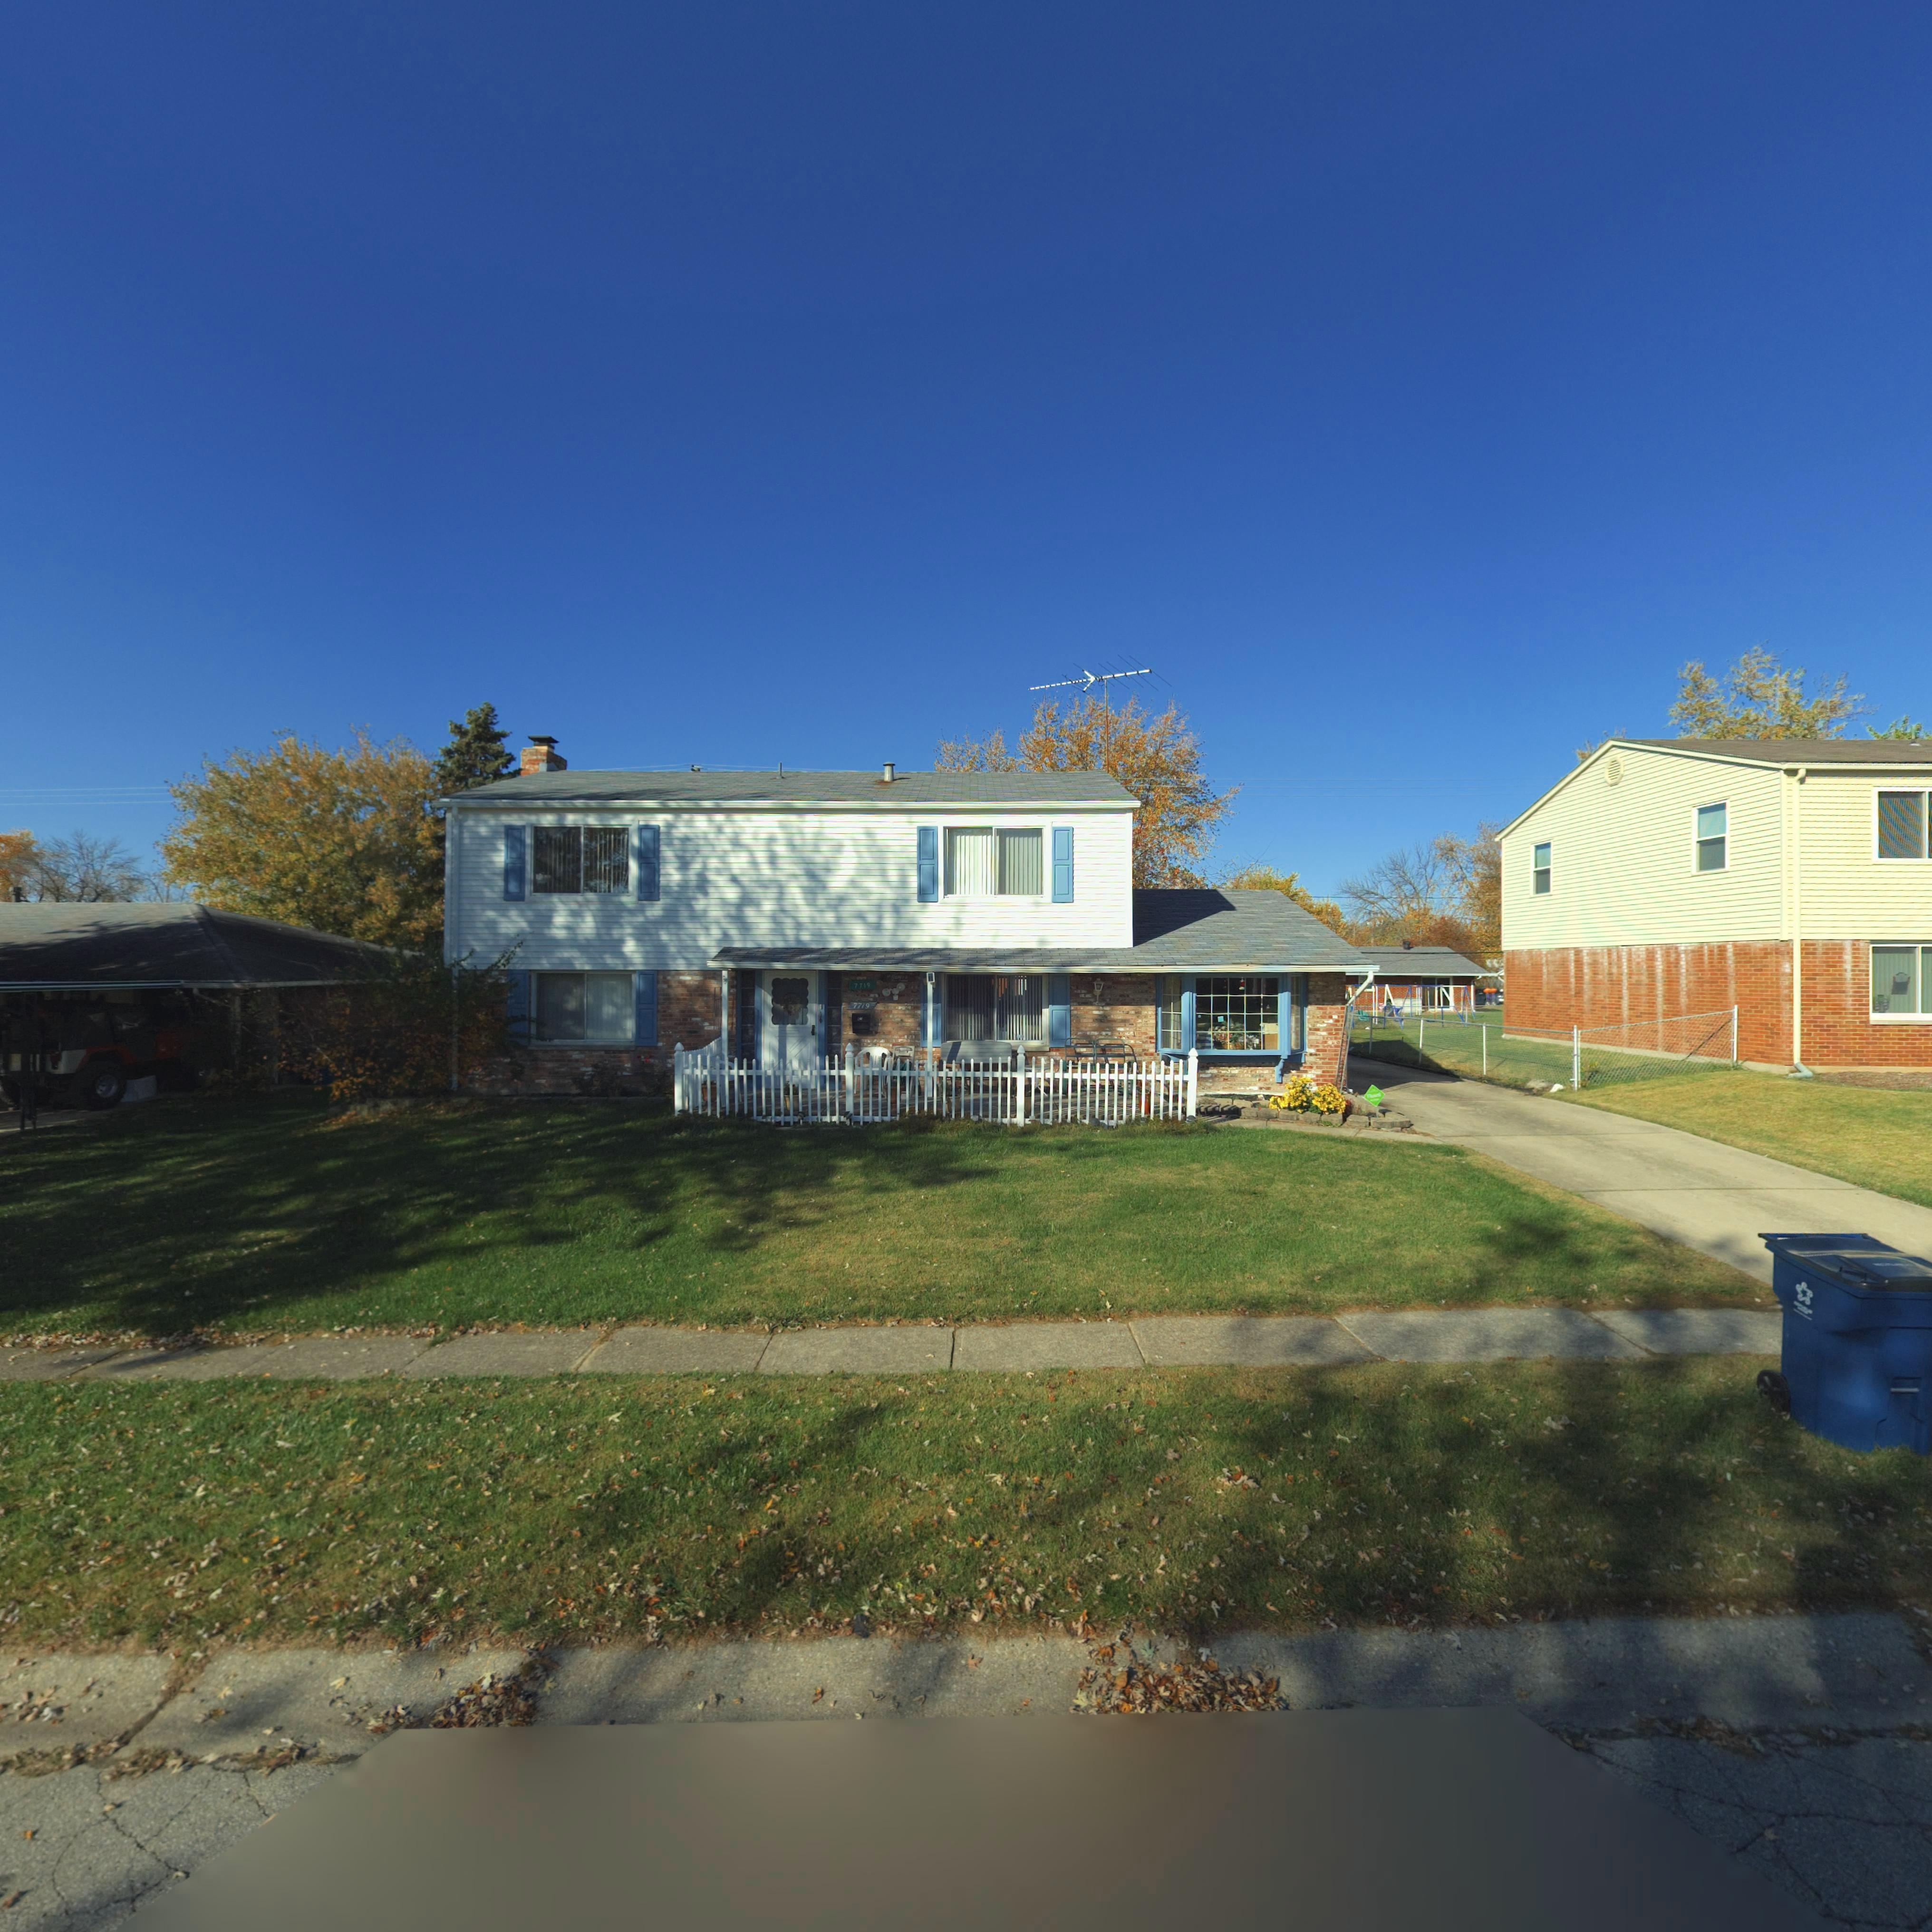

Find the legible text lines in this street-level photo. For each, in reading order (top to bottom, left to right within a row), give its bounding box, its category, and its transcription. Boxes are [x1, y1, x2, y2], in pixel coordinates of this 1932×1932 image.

[854, 982, 871, 989] StreetNumber: 7719
[853, 1002, 870, 1010] StreetNumber: 7719